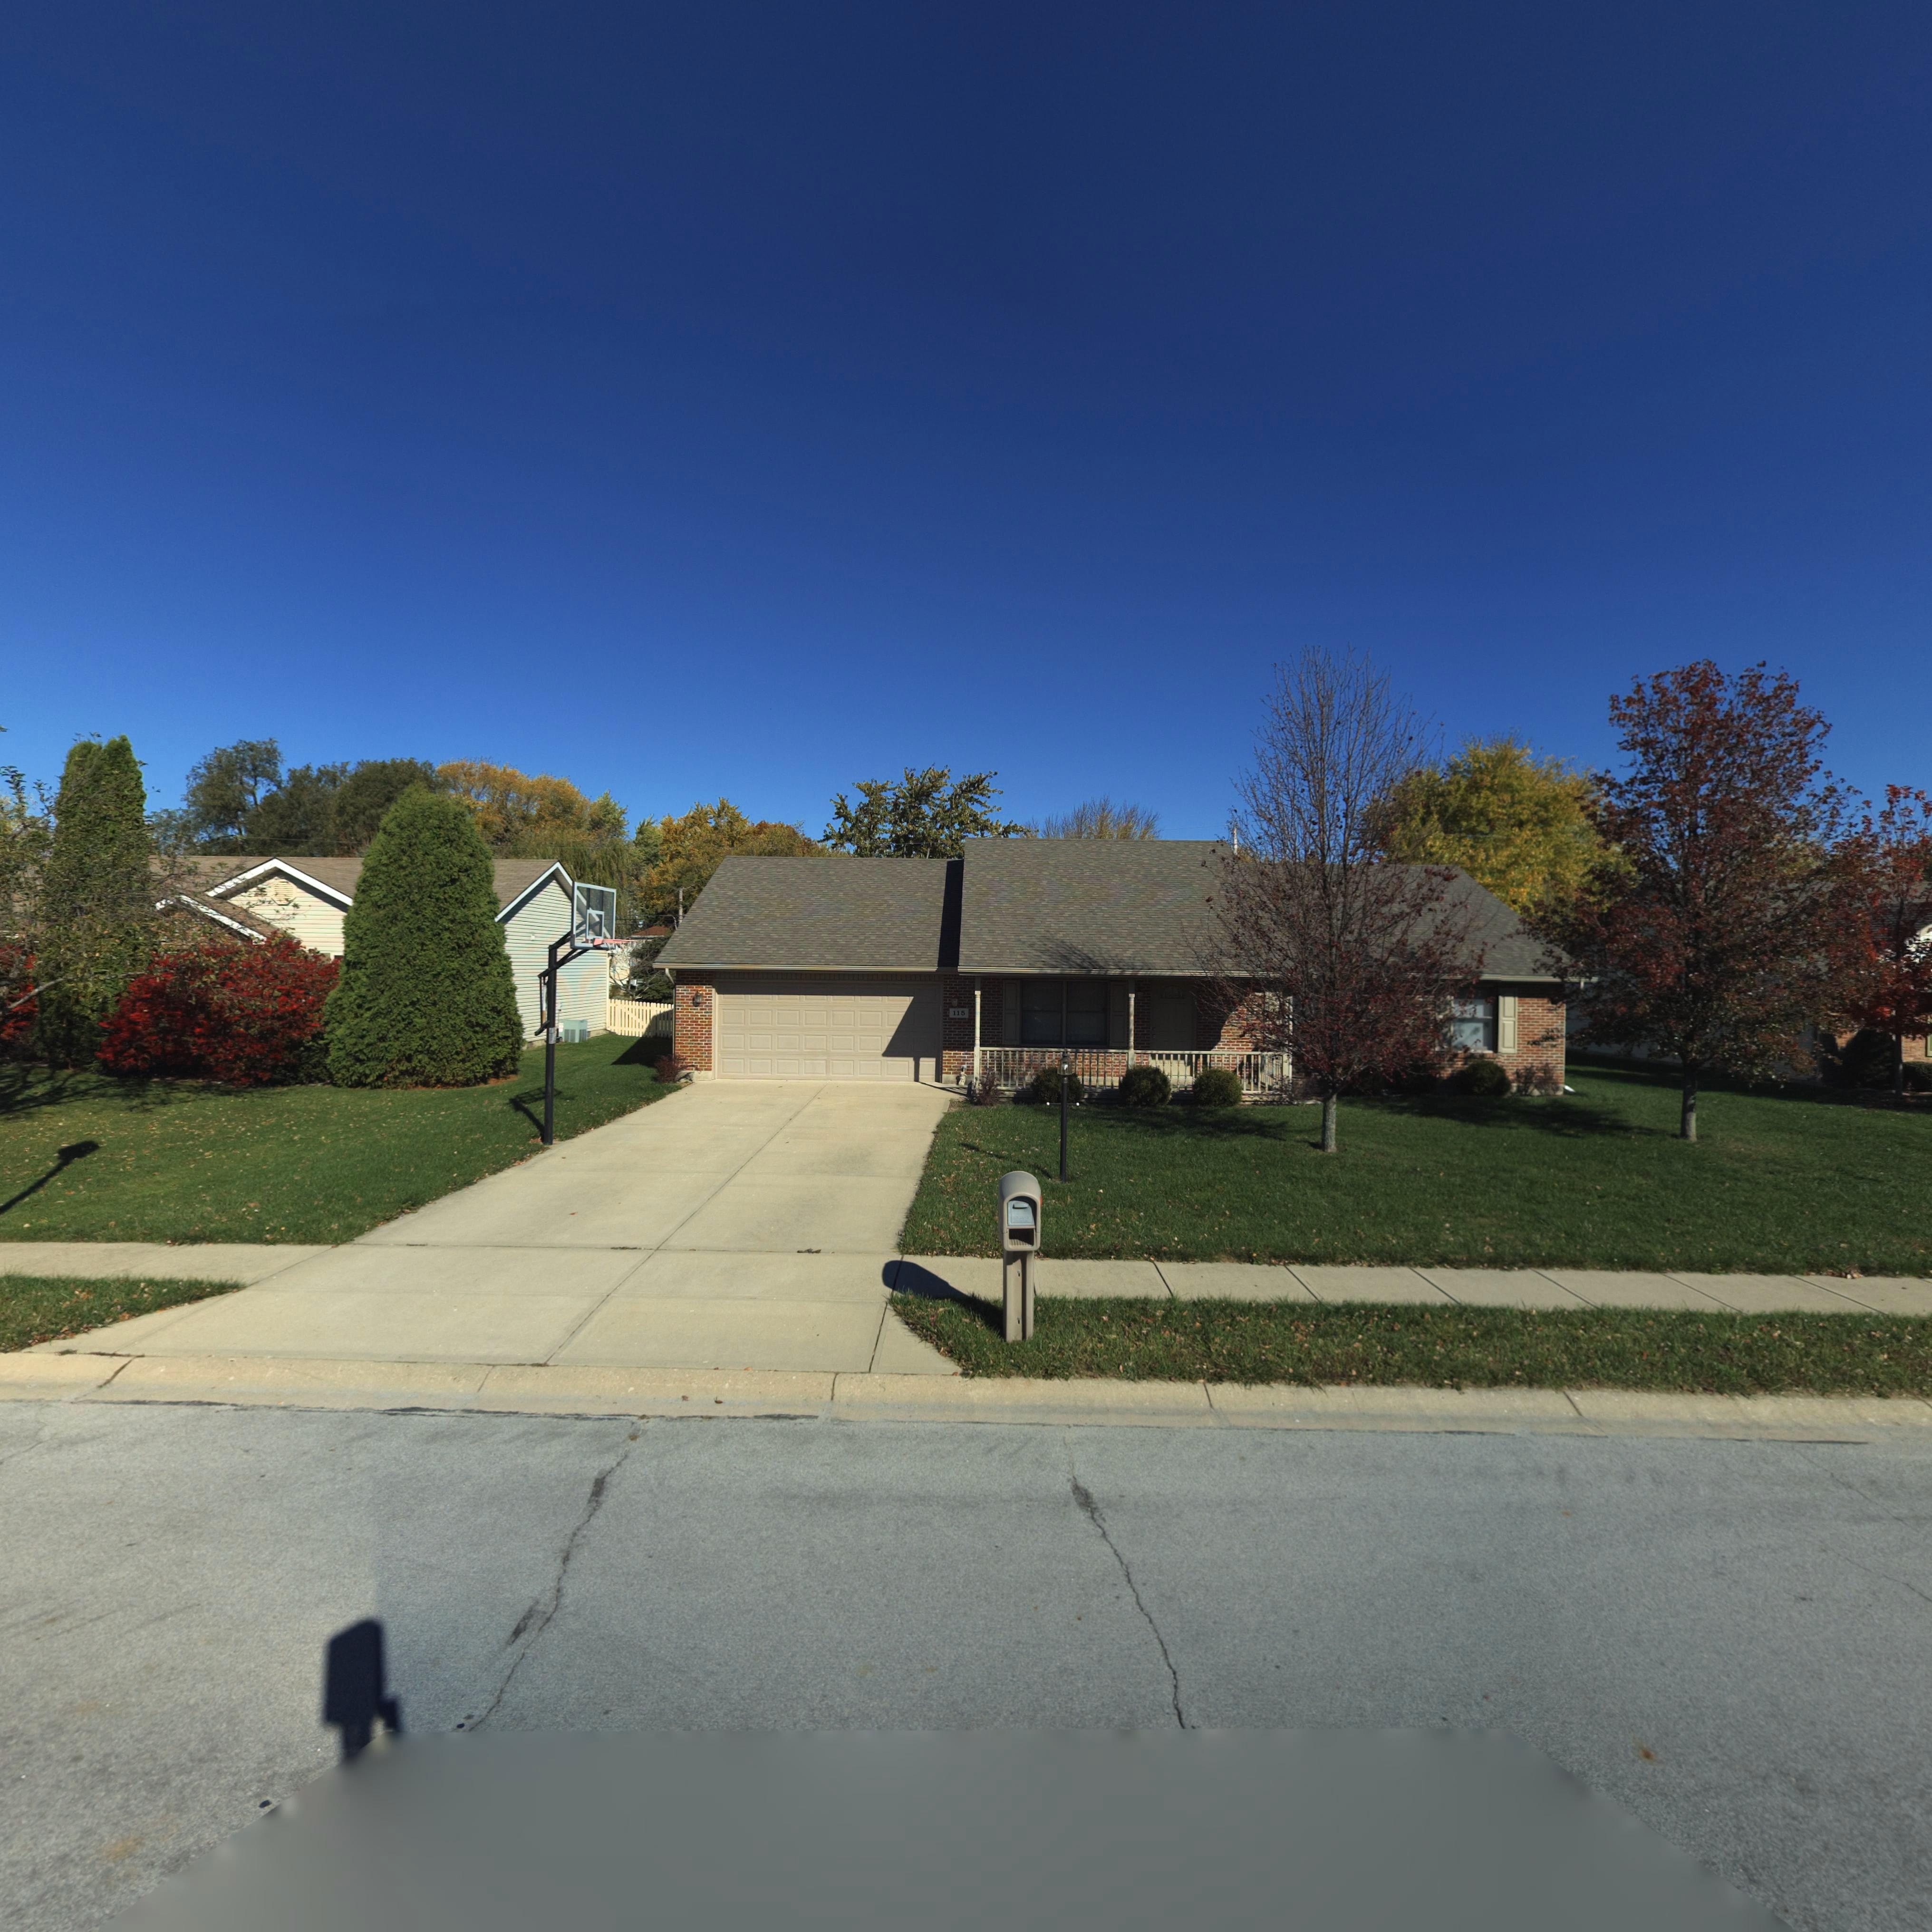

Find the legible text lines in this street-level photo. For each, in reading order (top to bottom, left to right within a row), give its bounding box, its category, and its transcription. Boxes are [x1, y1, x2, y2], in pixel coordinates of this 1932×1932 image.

[952, 1010, 965, 1016] StreetNumber: 115